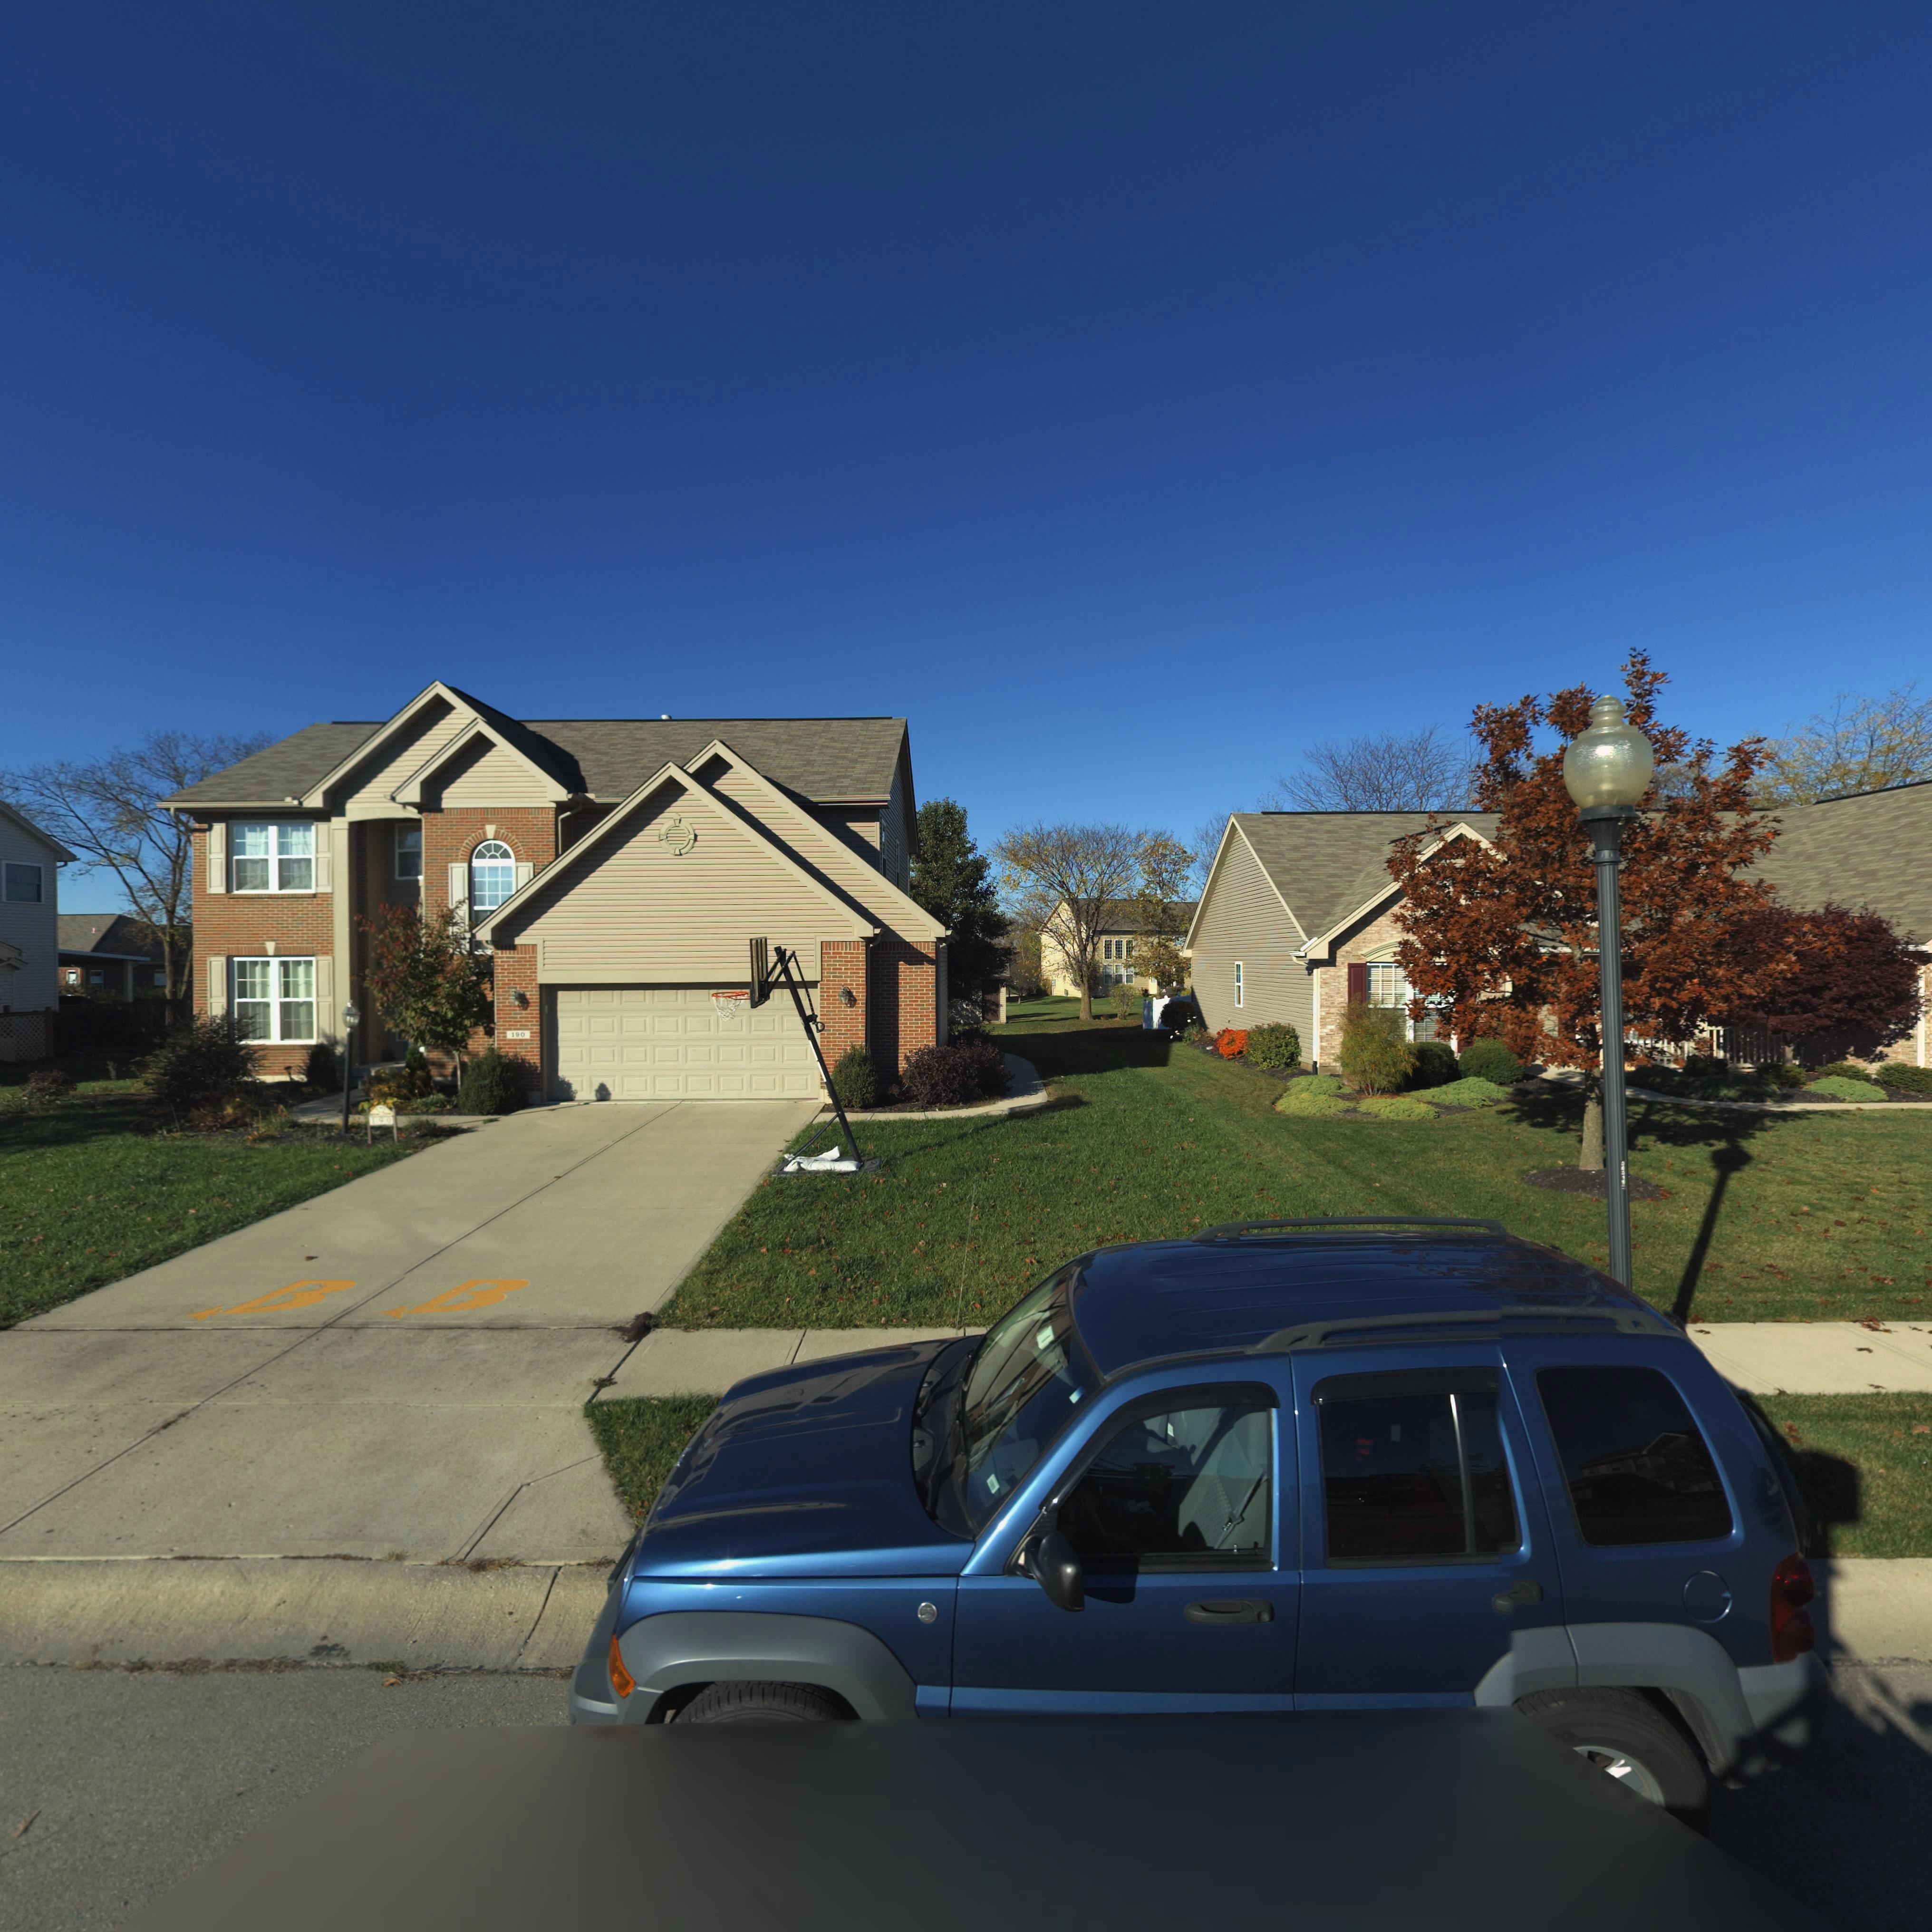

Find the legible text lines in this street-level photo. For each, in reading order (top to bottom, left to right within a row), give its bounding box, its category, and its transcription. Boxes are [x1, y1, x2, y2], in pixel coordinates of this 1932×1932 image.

[511, 1031, 526, 1038] StreetNumber: 190
[371, 1117, 393, 1125] StreetNumber: 190